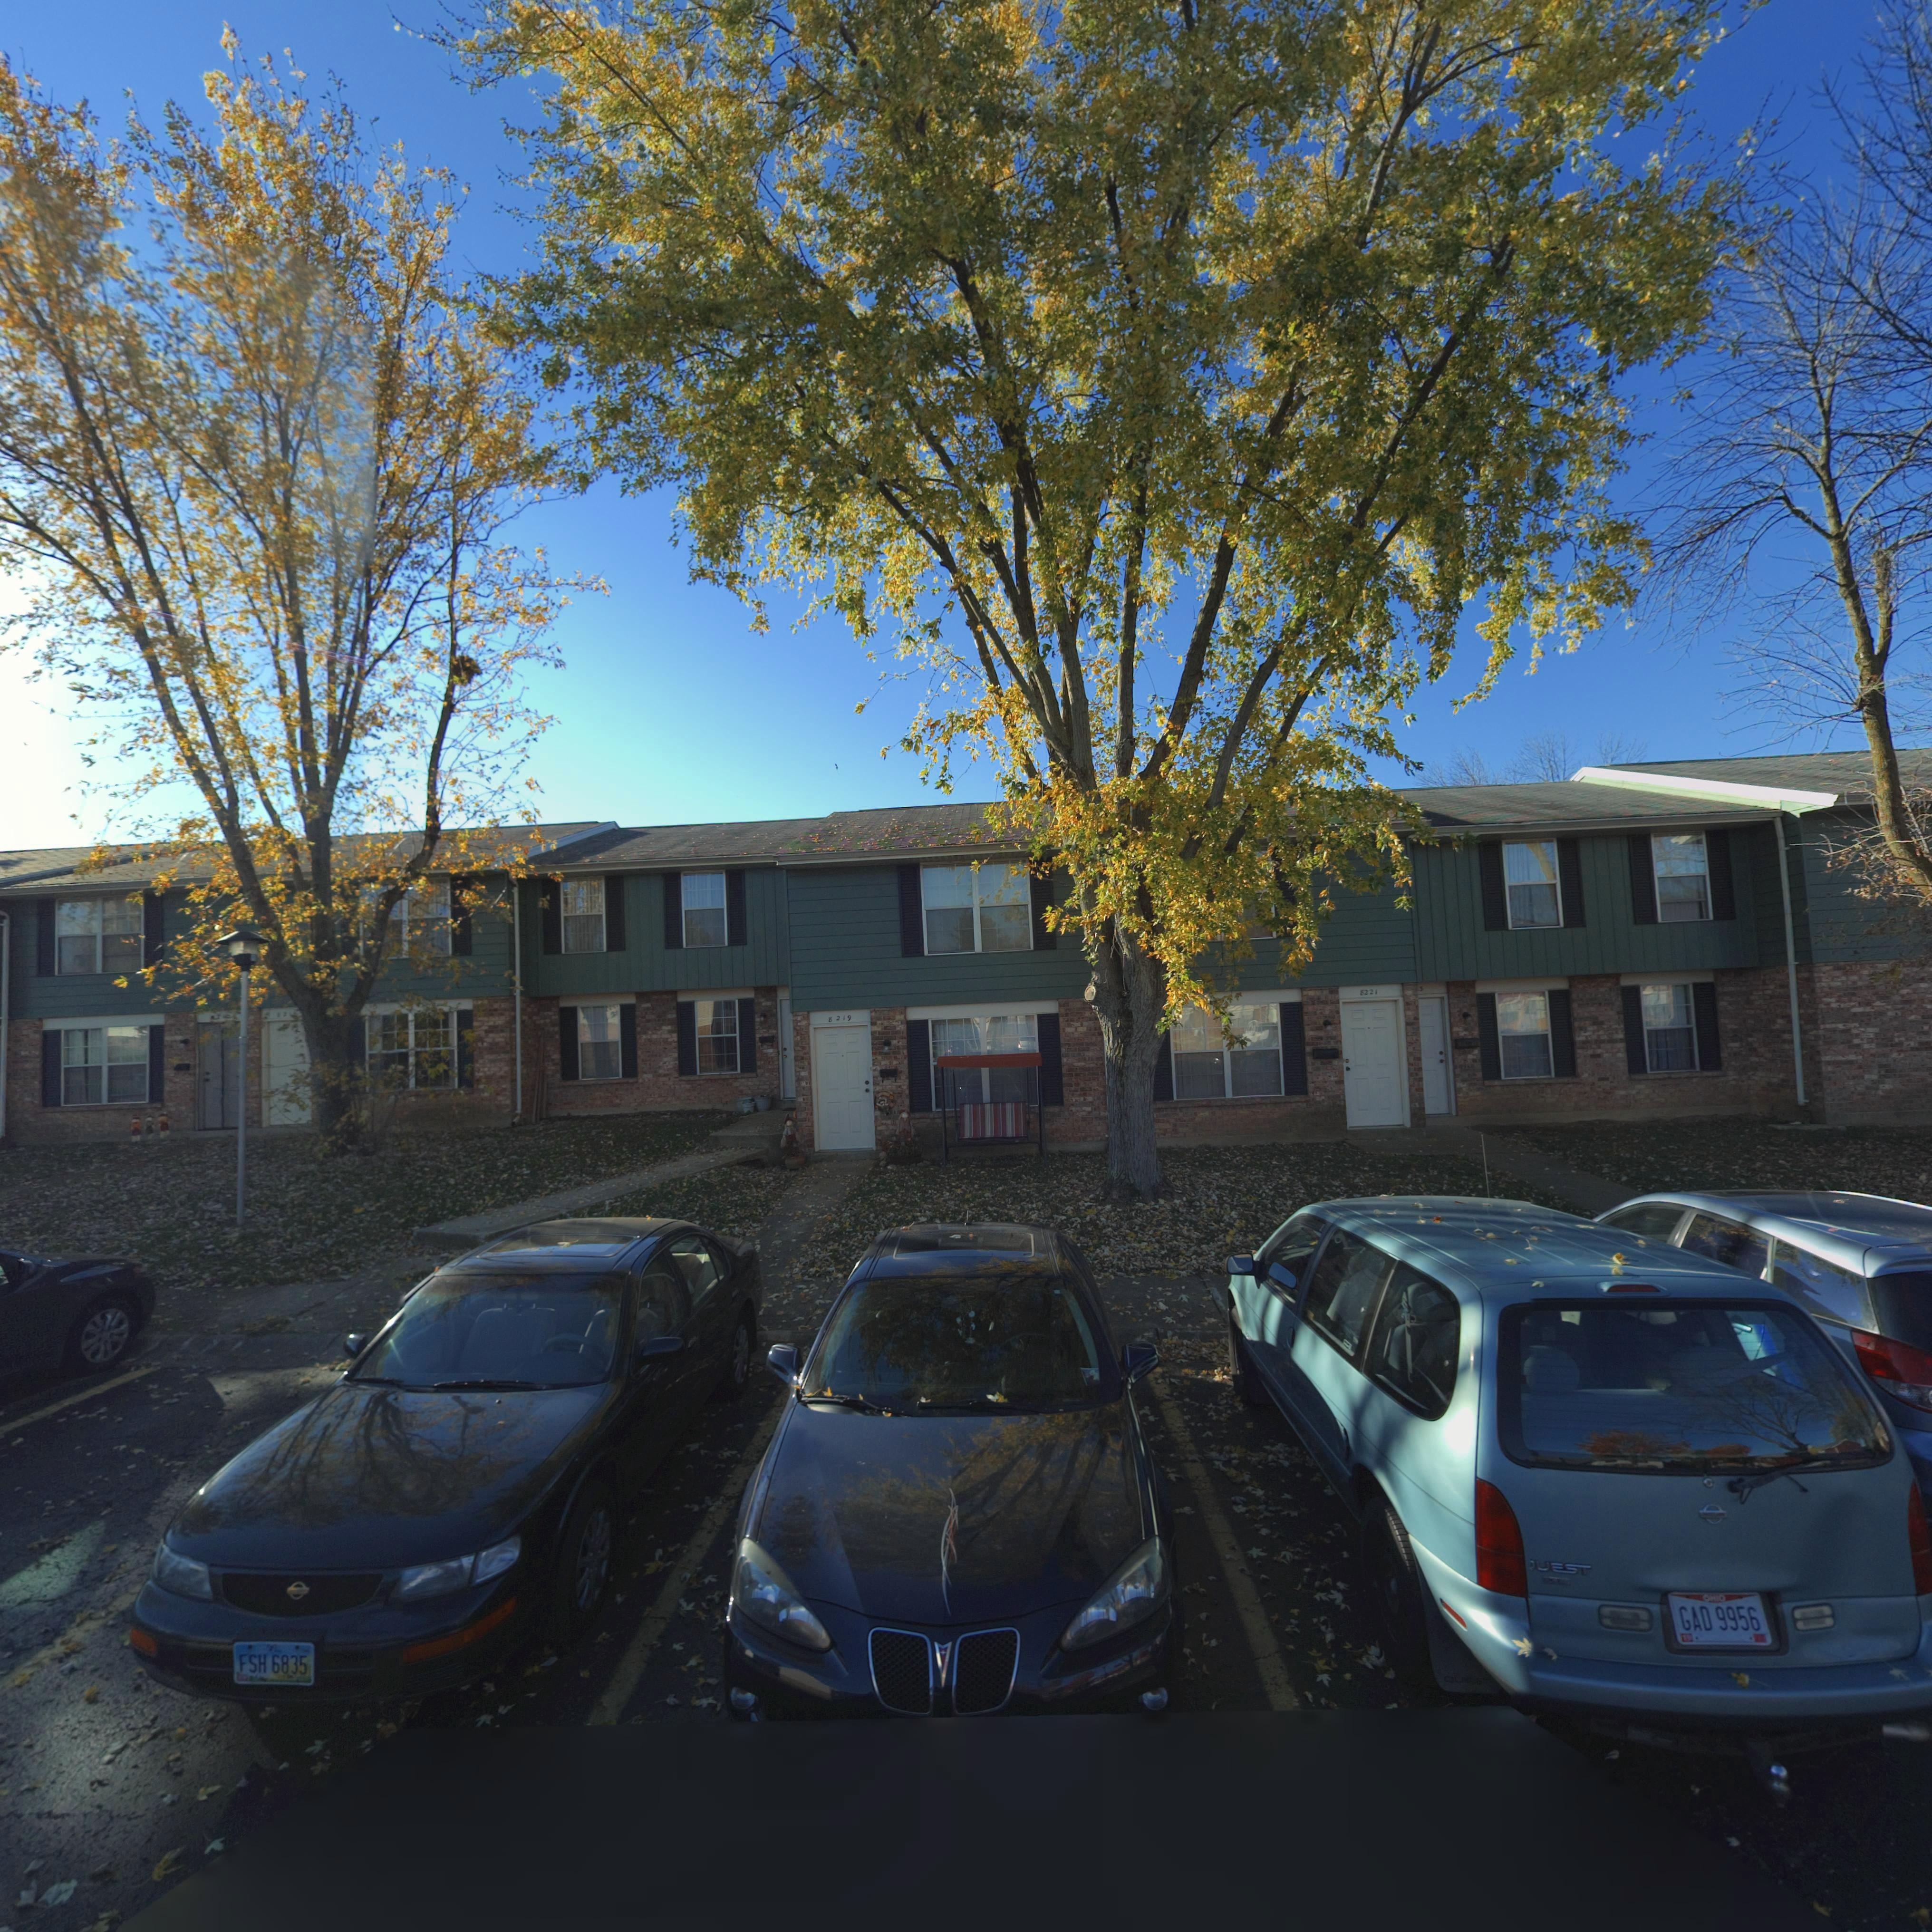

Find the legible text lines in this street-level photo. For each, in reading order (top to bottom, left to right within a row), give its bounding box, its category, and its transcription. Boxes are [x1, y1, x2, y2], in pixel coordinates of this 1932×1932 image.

[1359, 988, 1378, 996] StreetNumber: 8221
[1419, 985, 1423, 992] StreetNumber: 3
[282, 1010, 288, 1018] StreetNumber: 2
[828, 1014, 852, 1023] StreetNumber: 8219